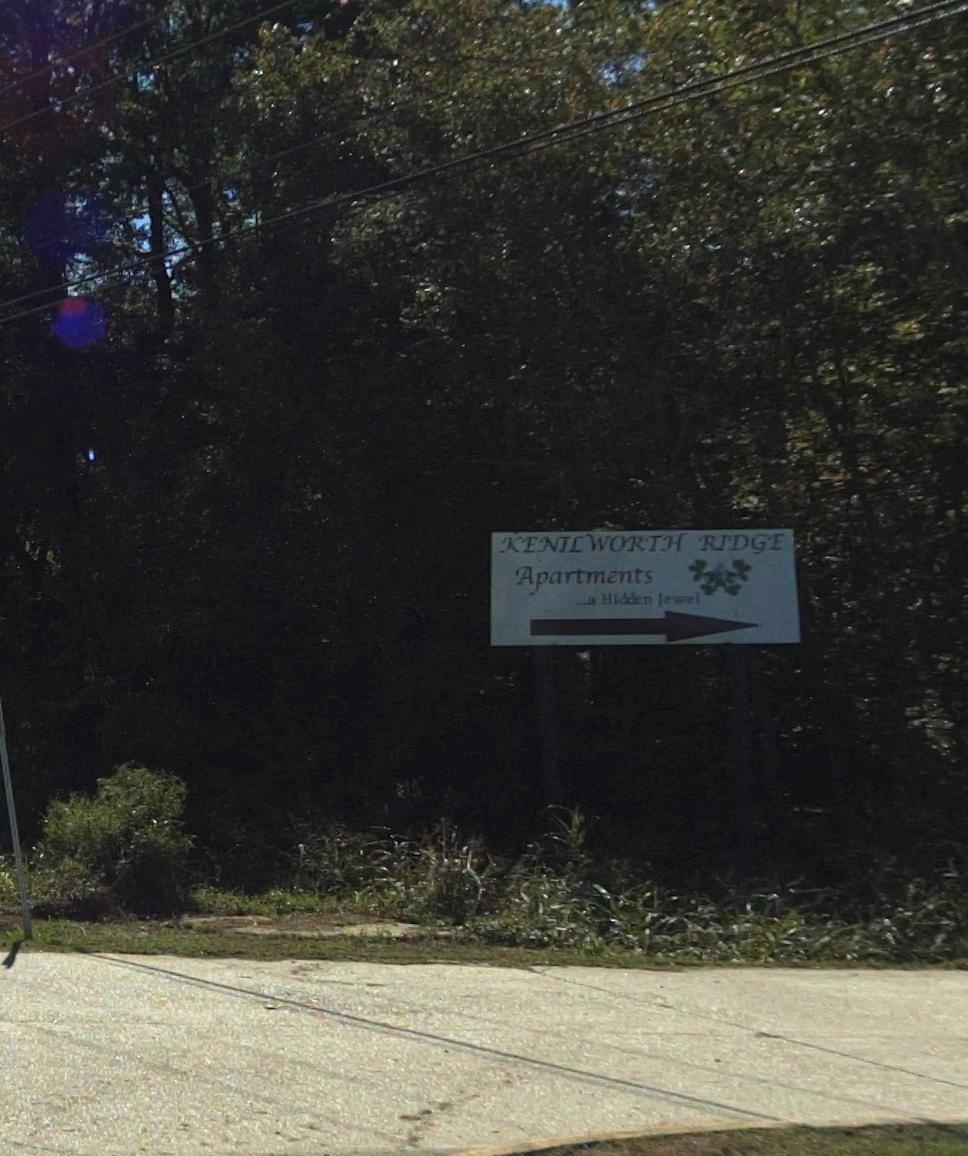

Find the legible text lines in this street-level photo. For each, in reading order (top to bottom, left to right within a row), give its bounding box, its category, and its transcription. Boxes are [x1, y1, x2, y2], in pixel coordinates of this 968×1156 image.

[498, 532, 788, 555] BusinessName: KENILWORTH RIDGE
[515, 564, 654, 596] BusinessName: Apartments
[600, 590, 702, 609] None: Hidden Jewel\